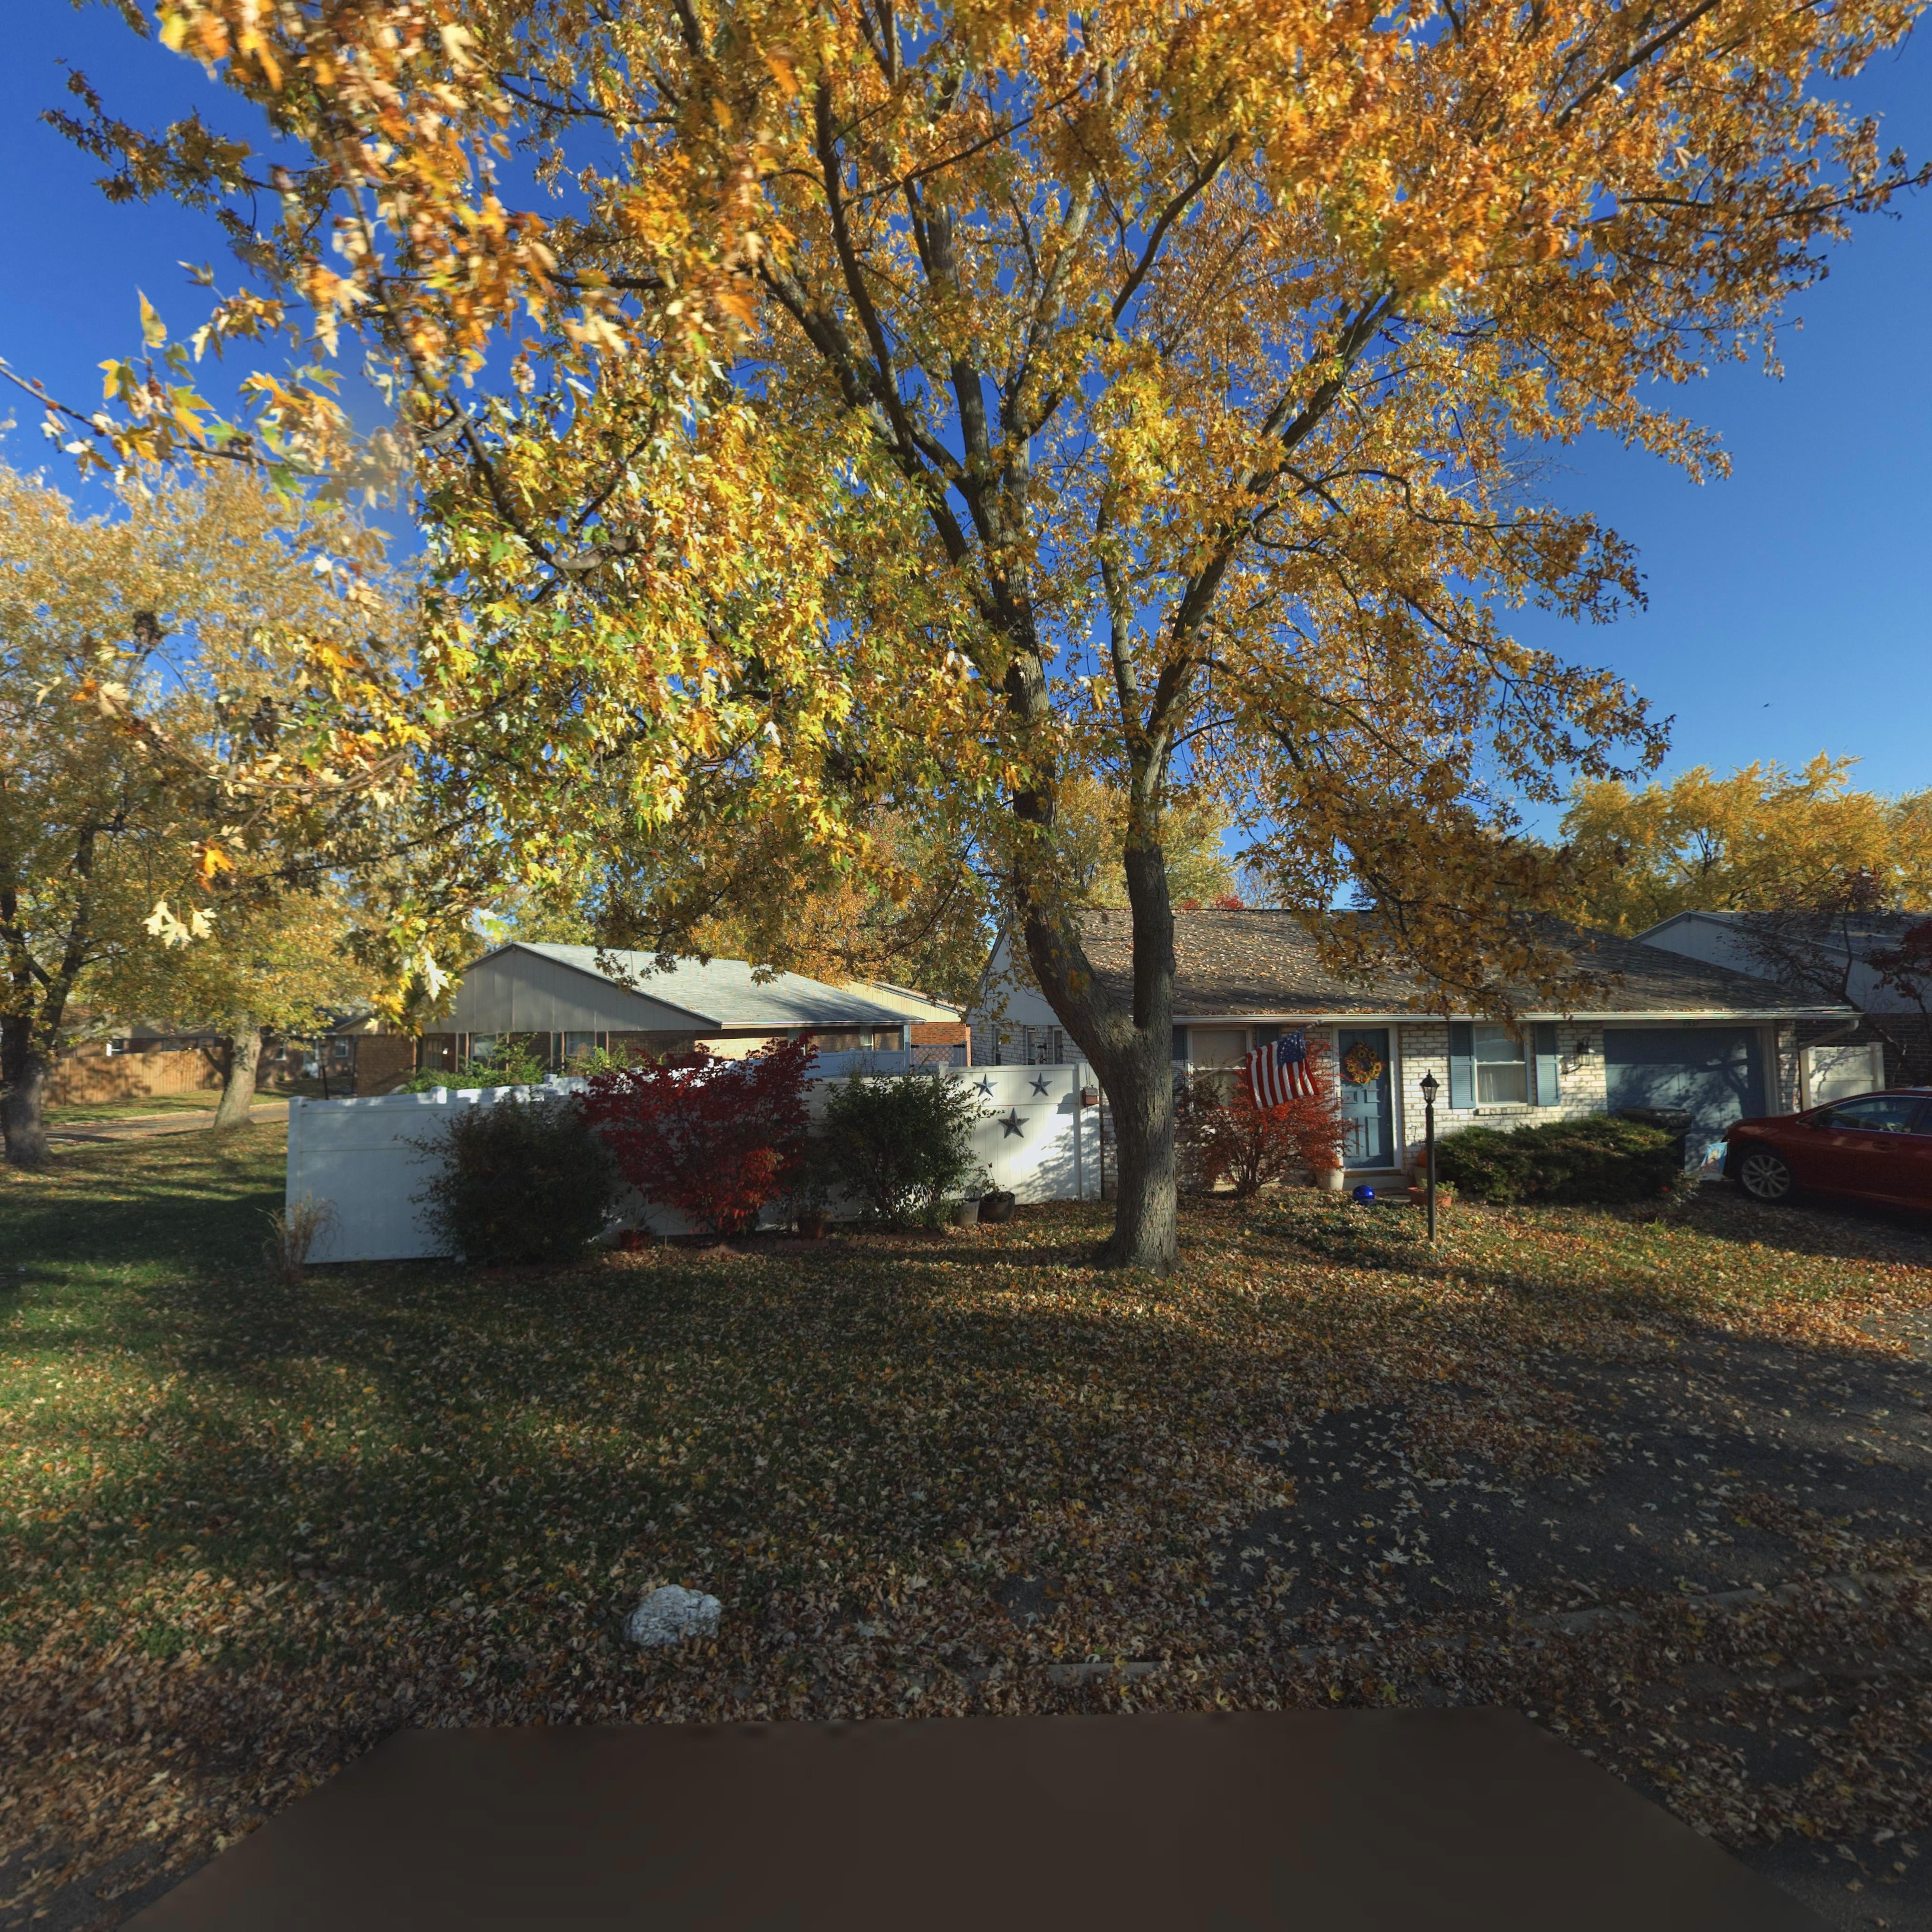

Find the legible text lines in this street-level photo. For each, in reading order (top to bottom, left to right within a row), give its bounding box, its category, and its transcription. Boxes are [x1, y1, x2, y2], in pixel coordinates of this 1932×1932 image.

[1681, 1019, 1700, 1029] StreetNumber: 7**1